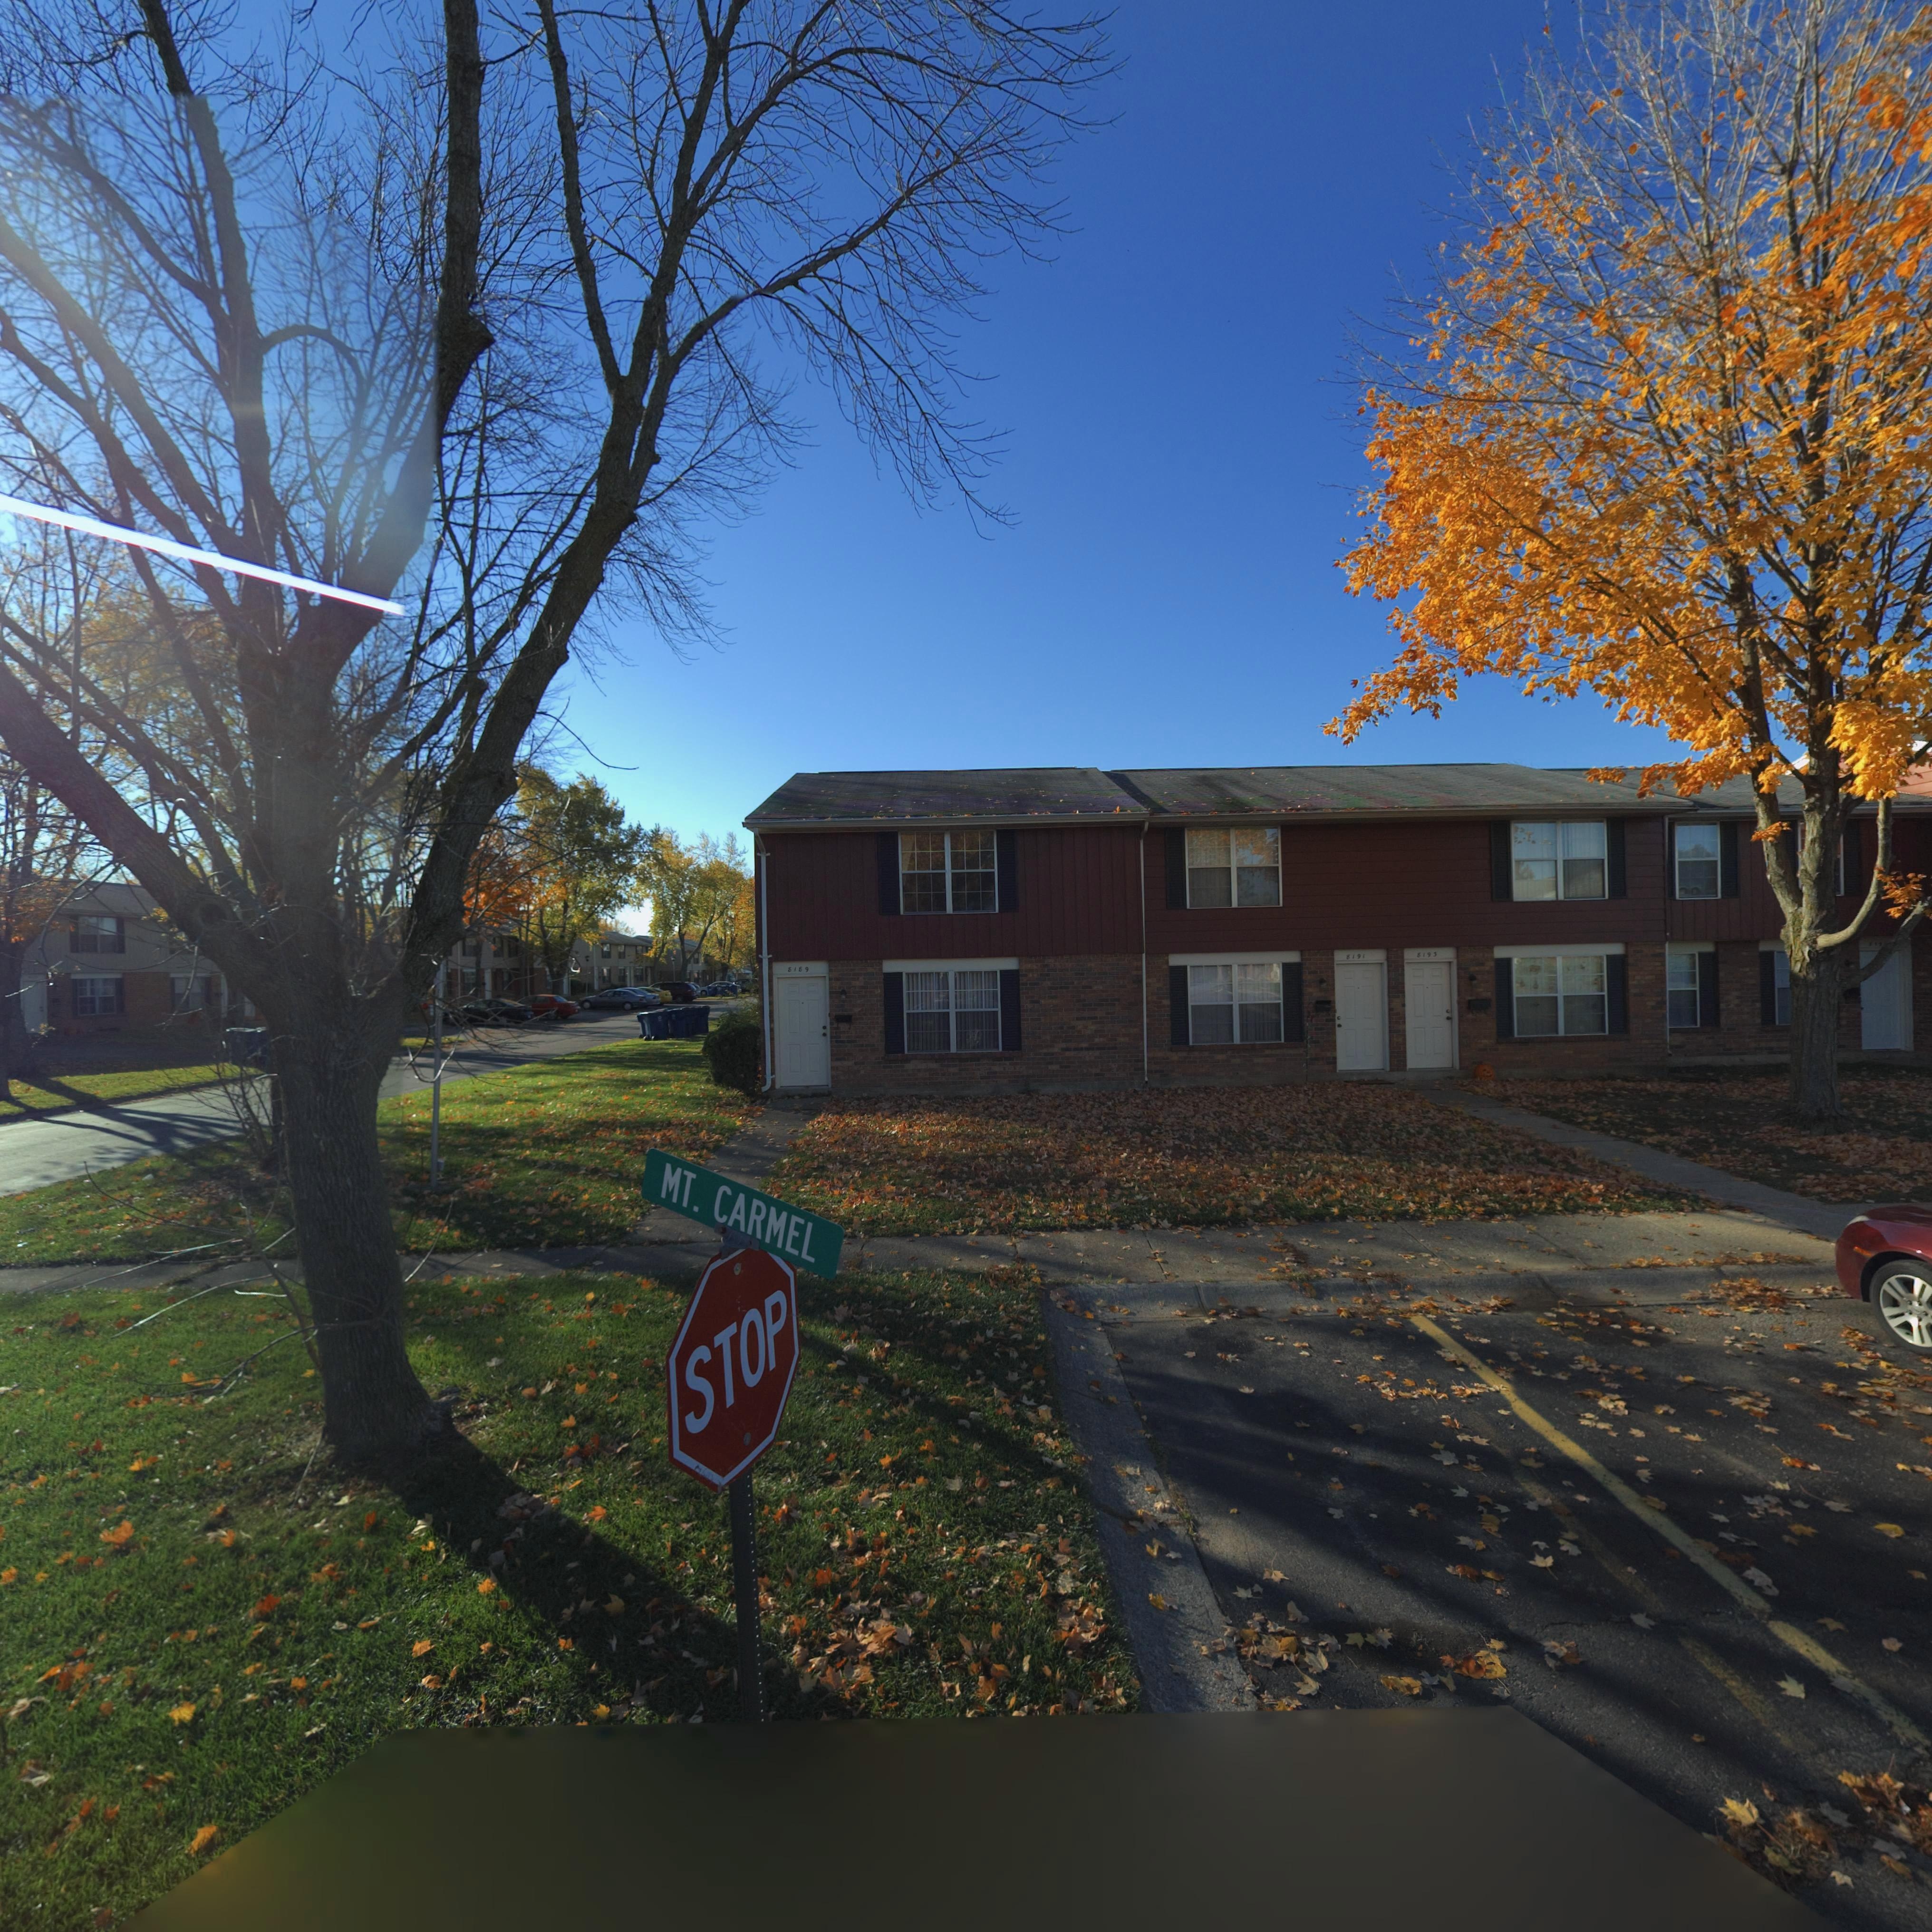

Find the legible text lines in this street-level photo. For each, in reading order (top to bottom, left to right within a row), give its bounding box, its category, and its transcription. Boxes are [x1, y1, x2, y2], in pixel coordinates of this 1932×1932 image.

[1867, 941, 1883, 947] StreetNumber: 819
[1346, 953, 1365, 960] StreetNumber: 8191
[1417, 951, 1438, 958] StreetNumber: 8193
[787, 966, 809, 973] StreetNumber: 8189
[658, 1159, 816, 1265] StreetName: MT. CARMEL